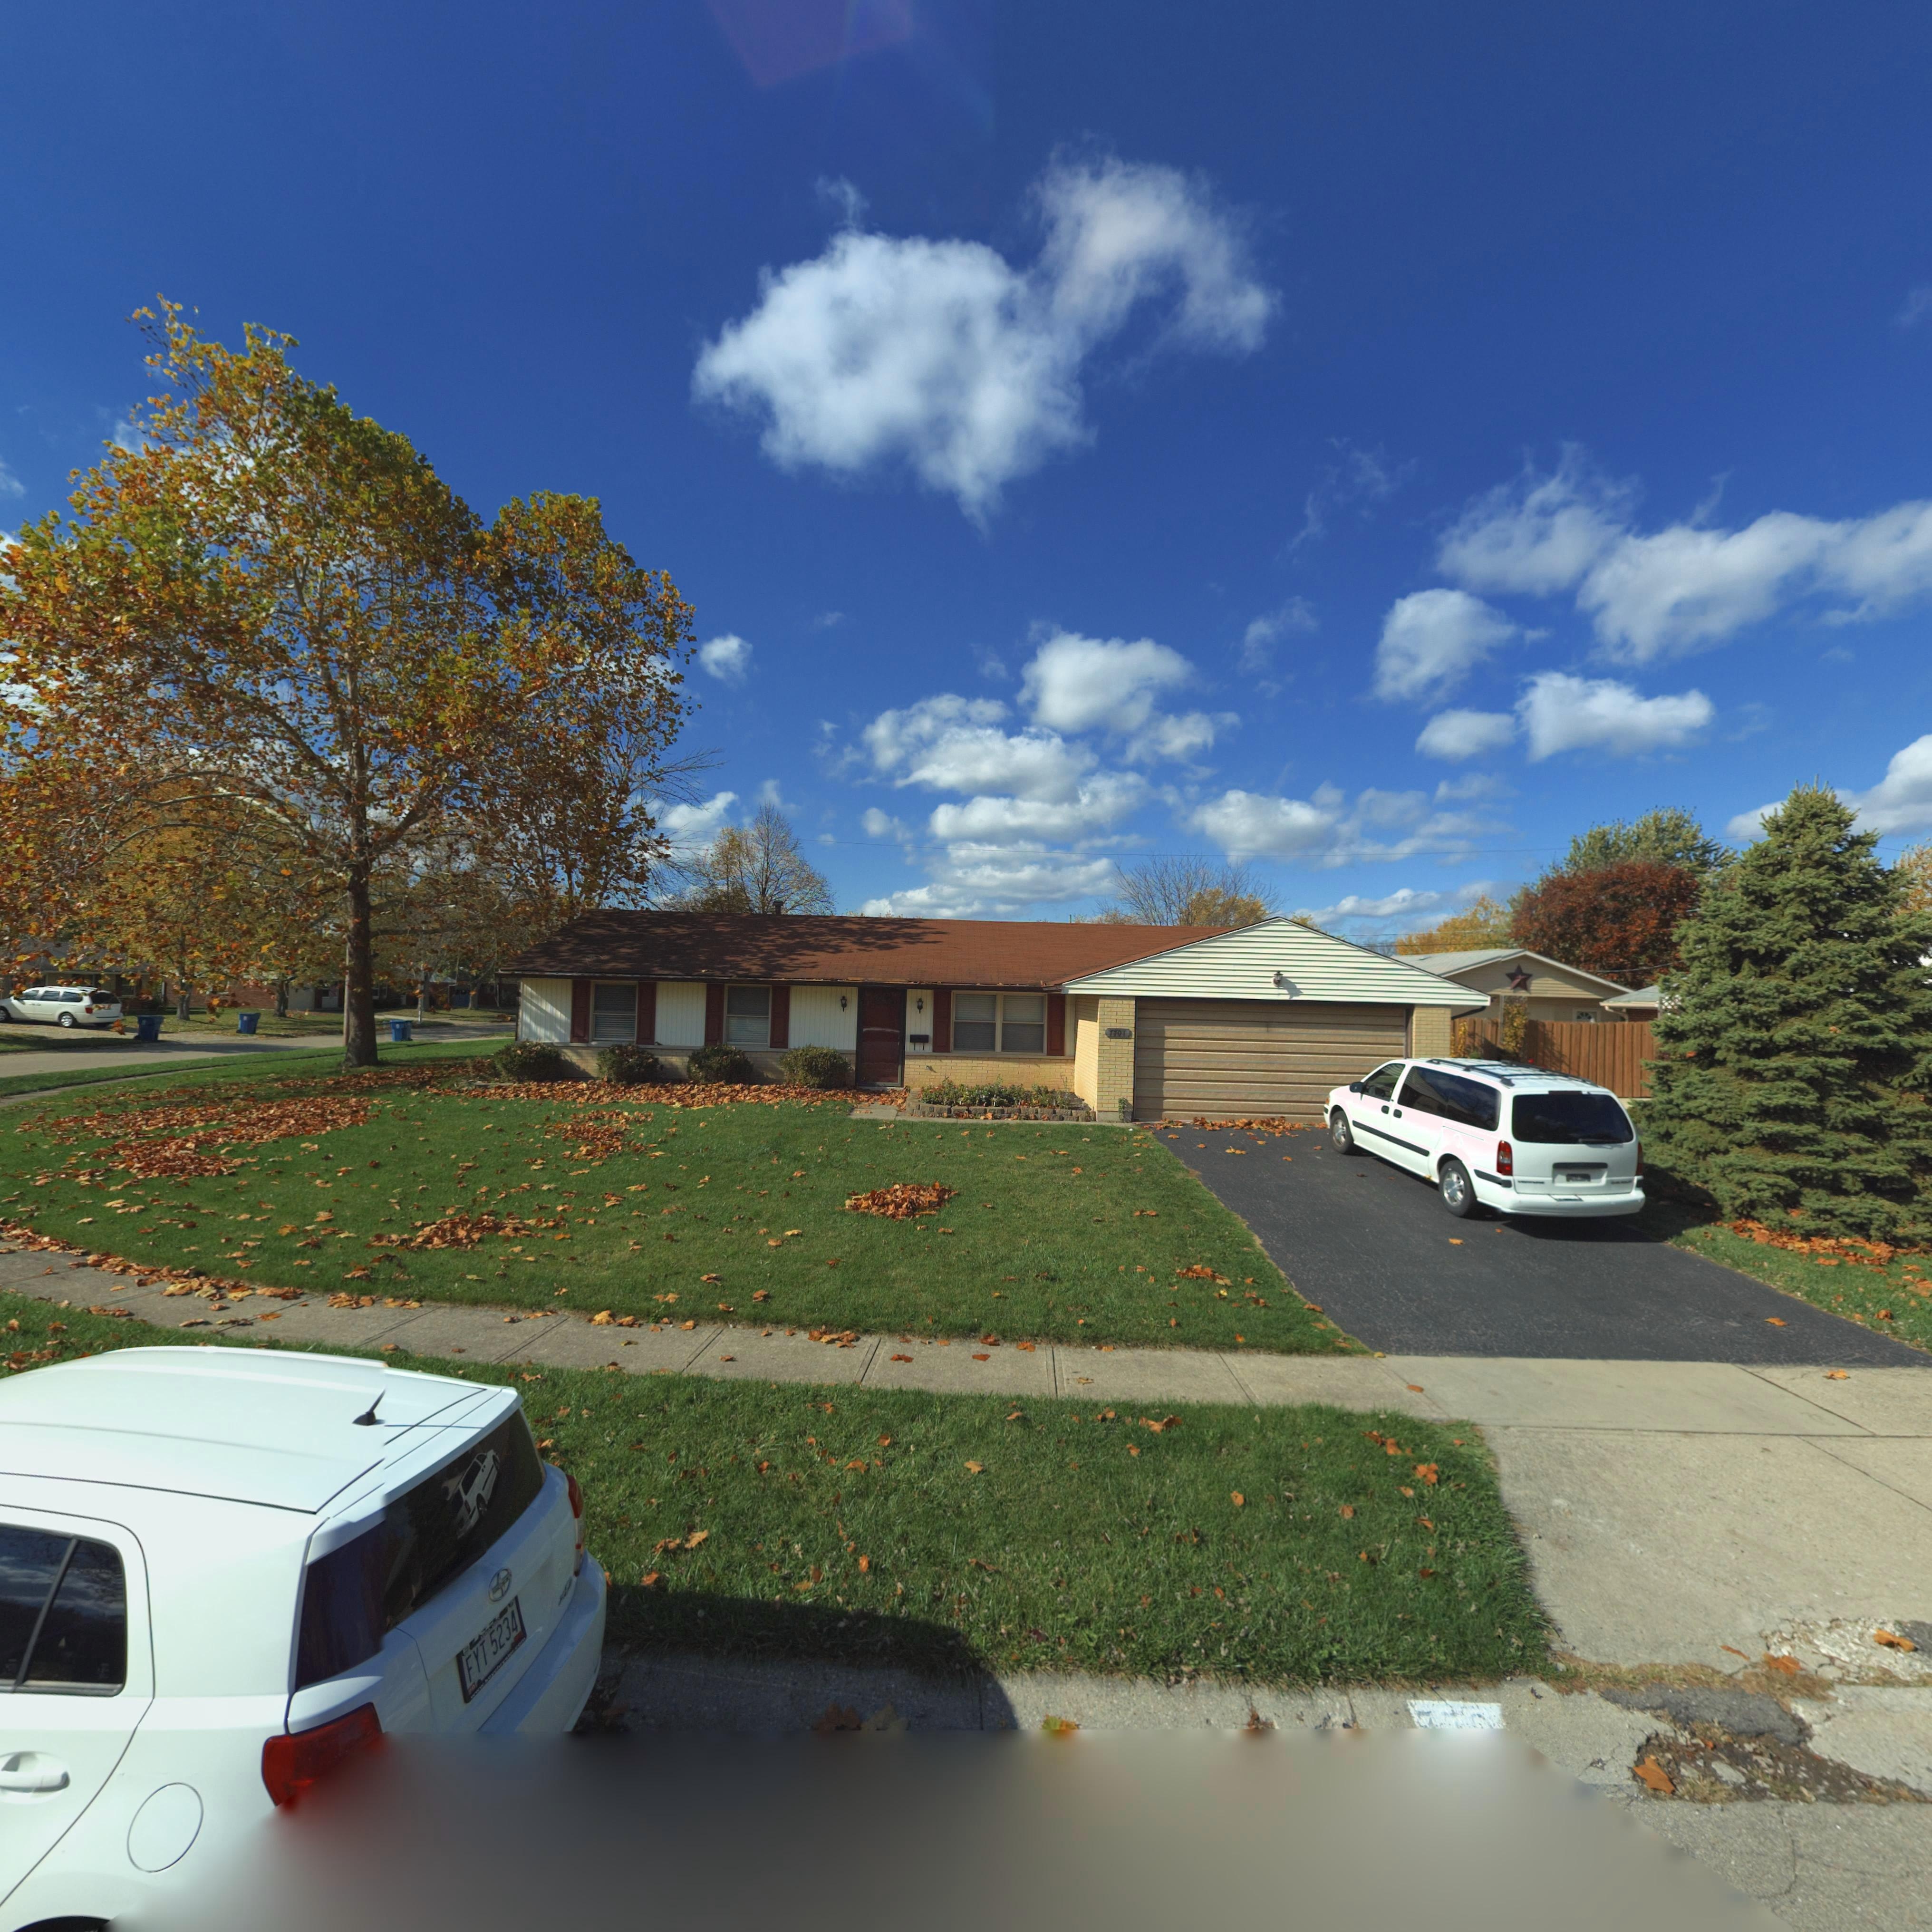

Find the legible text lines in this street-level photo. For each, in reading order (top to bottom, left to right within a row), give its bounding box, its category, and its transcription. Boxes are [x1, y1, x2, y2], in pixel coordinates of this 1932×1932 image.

[1109, 1030, 1125, 1037] StreetNumber: 7701
[1412, 1708, 1465, 1731] StreetNumber: 77